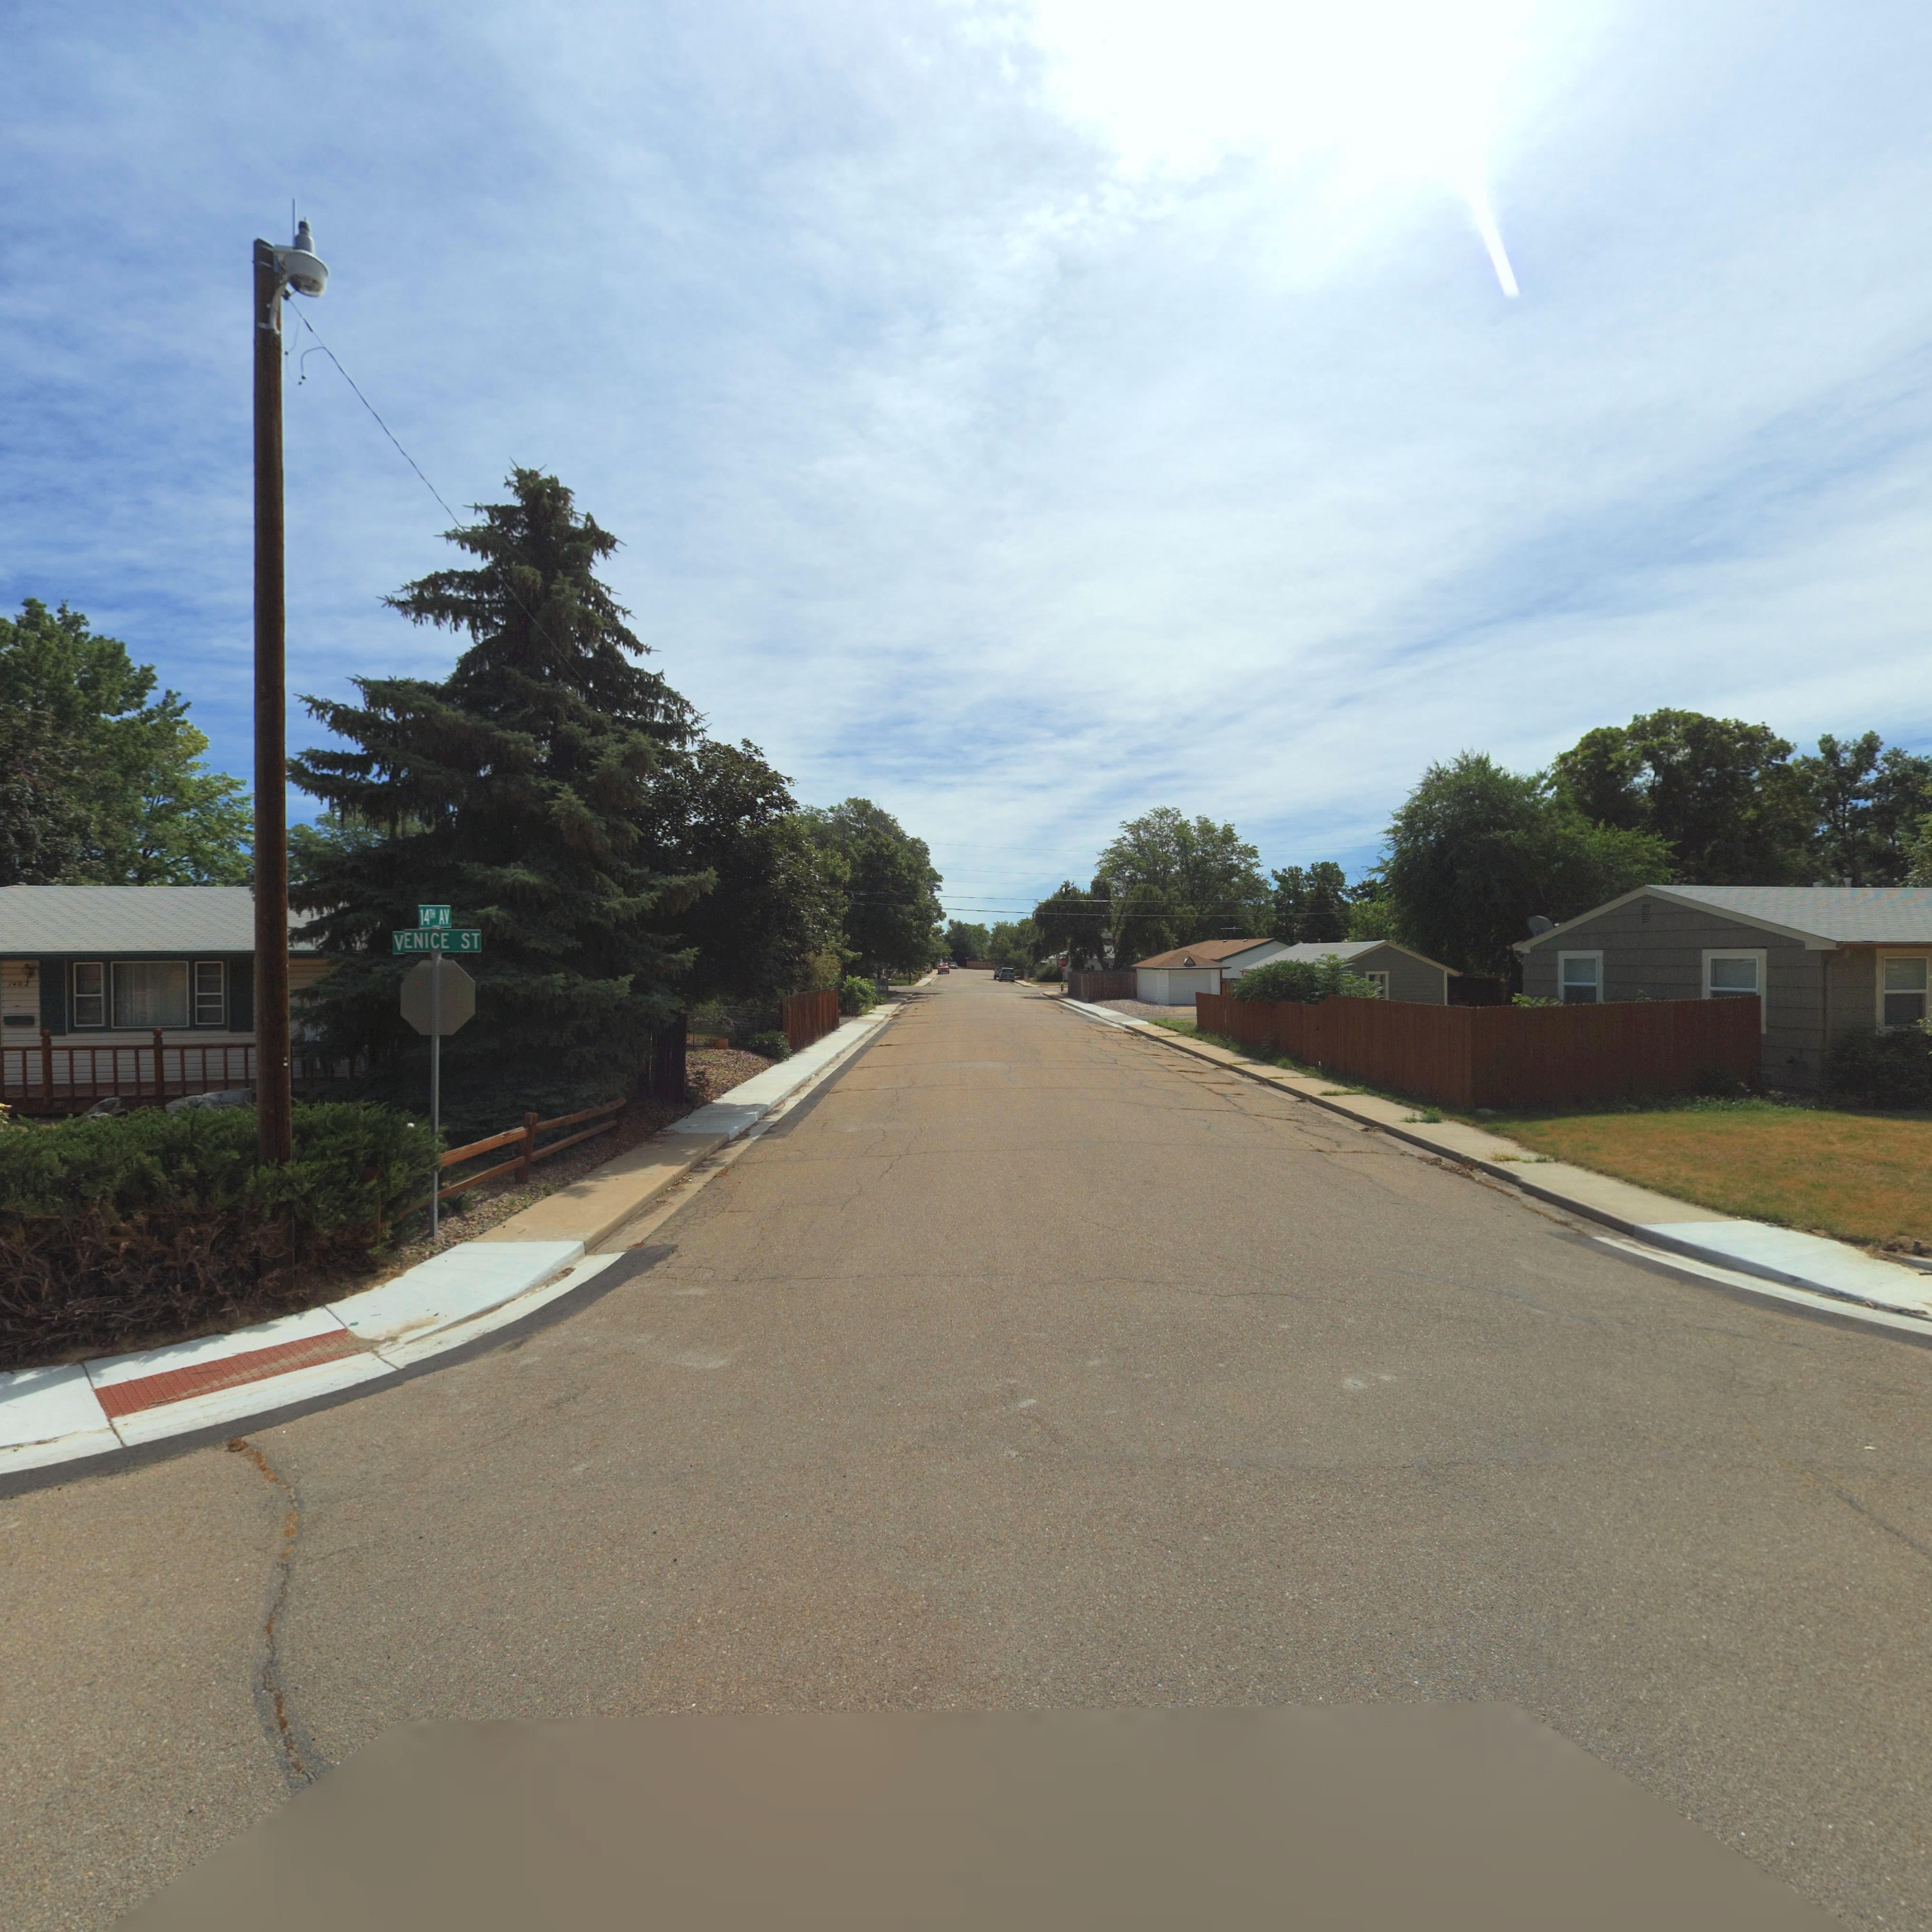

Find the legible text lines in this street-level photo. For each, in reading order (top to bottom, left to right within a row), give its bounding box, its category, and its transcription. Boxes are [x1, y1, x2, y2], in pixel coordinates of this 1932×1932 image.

[419, 908, 450, 926] StreetName: 14TH AV
[392, 931, 481, 952] StreetName: VENICE ST
[7, 979, 30, 988] StreetNumber: 1402